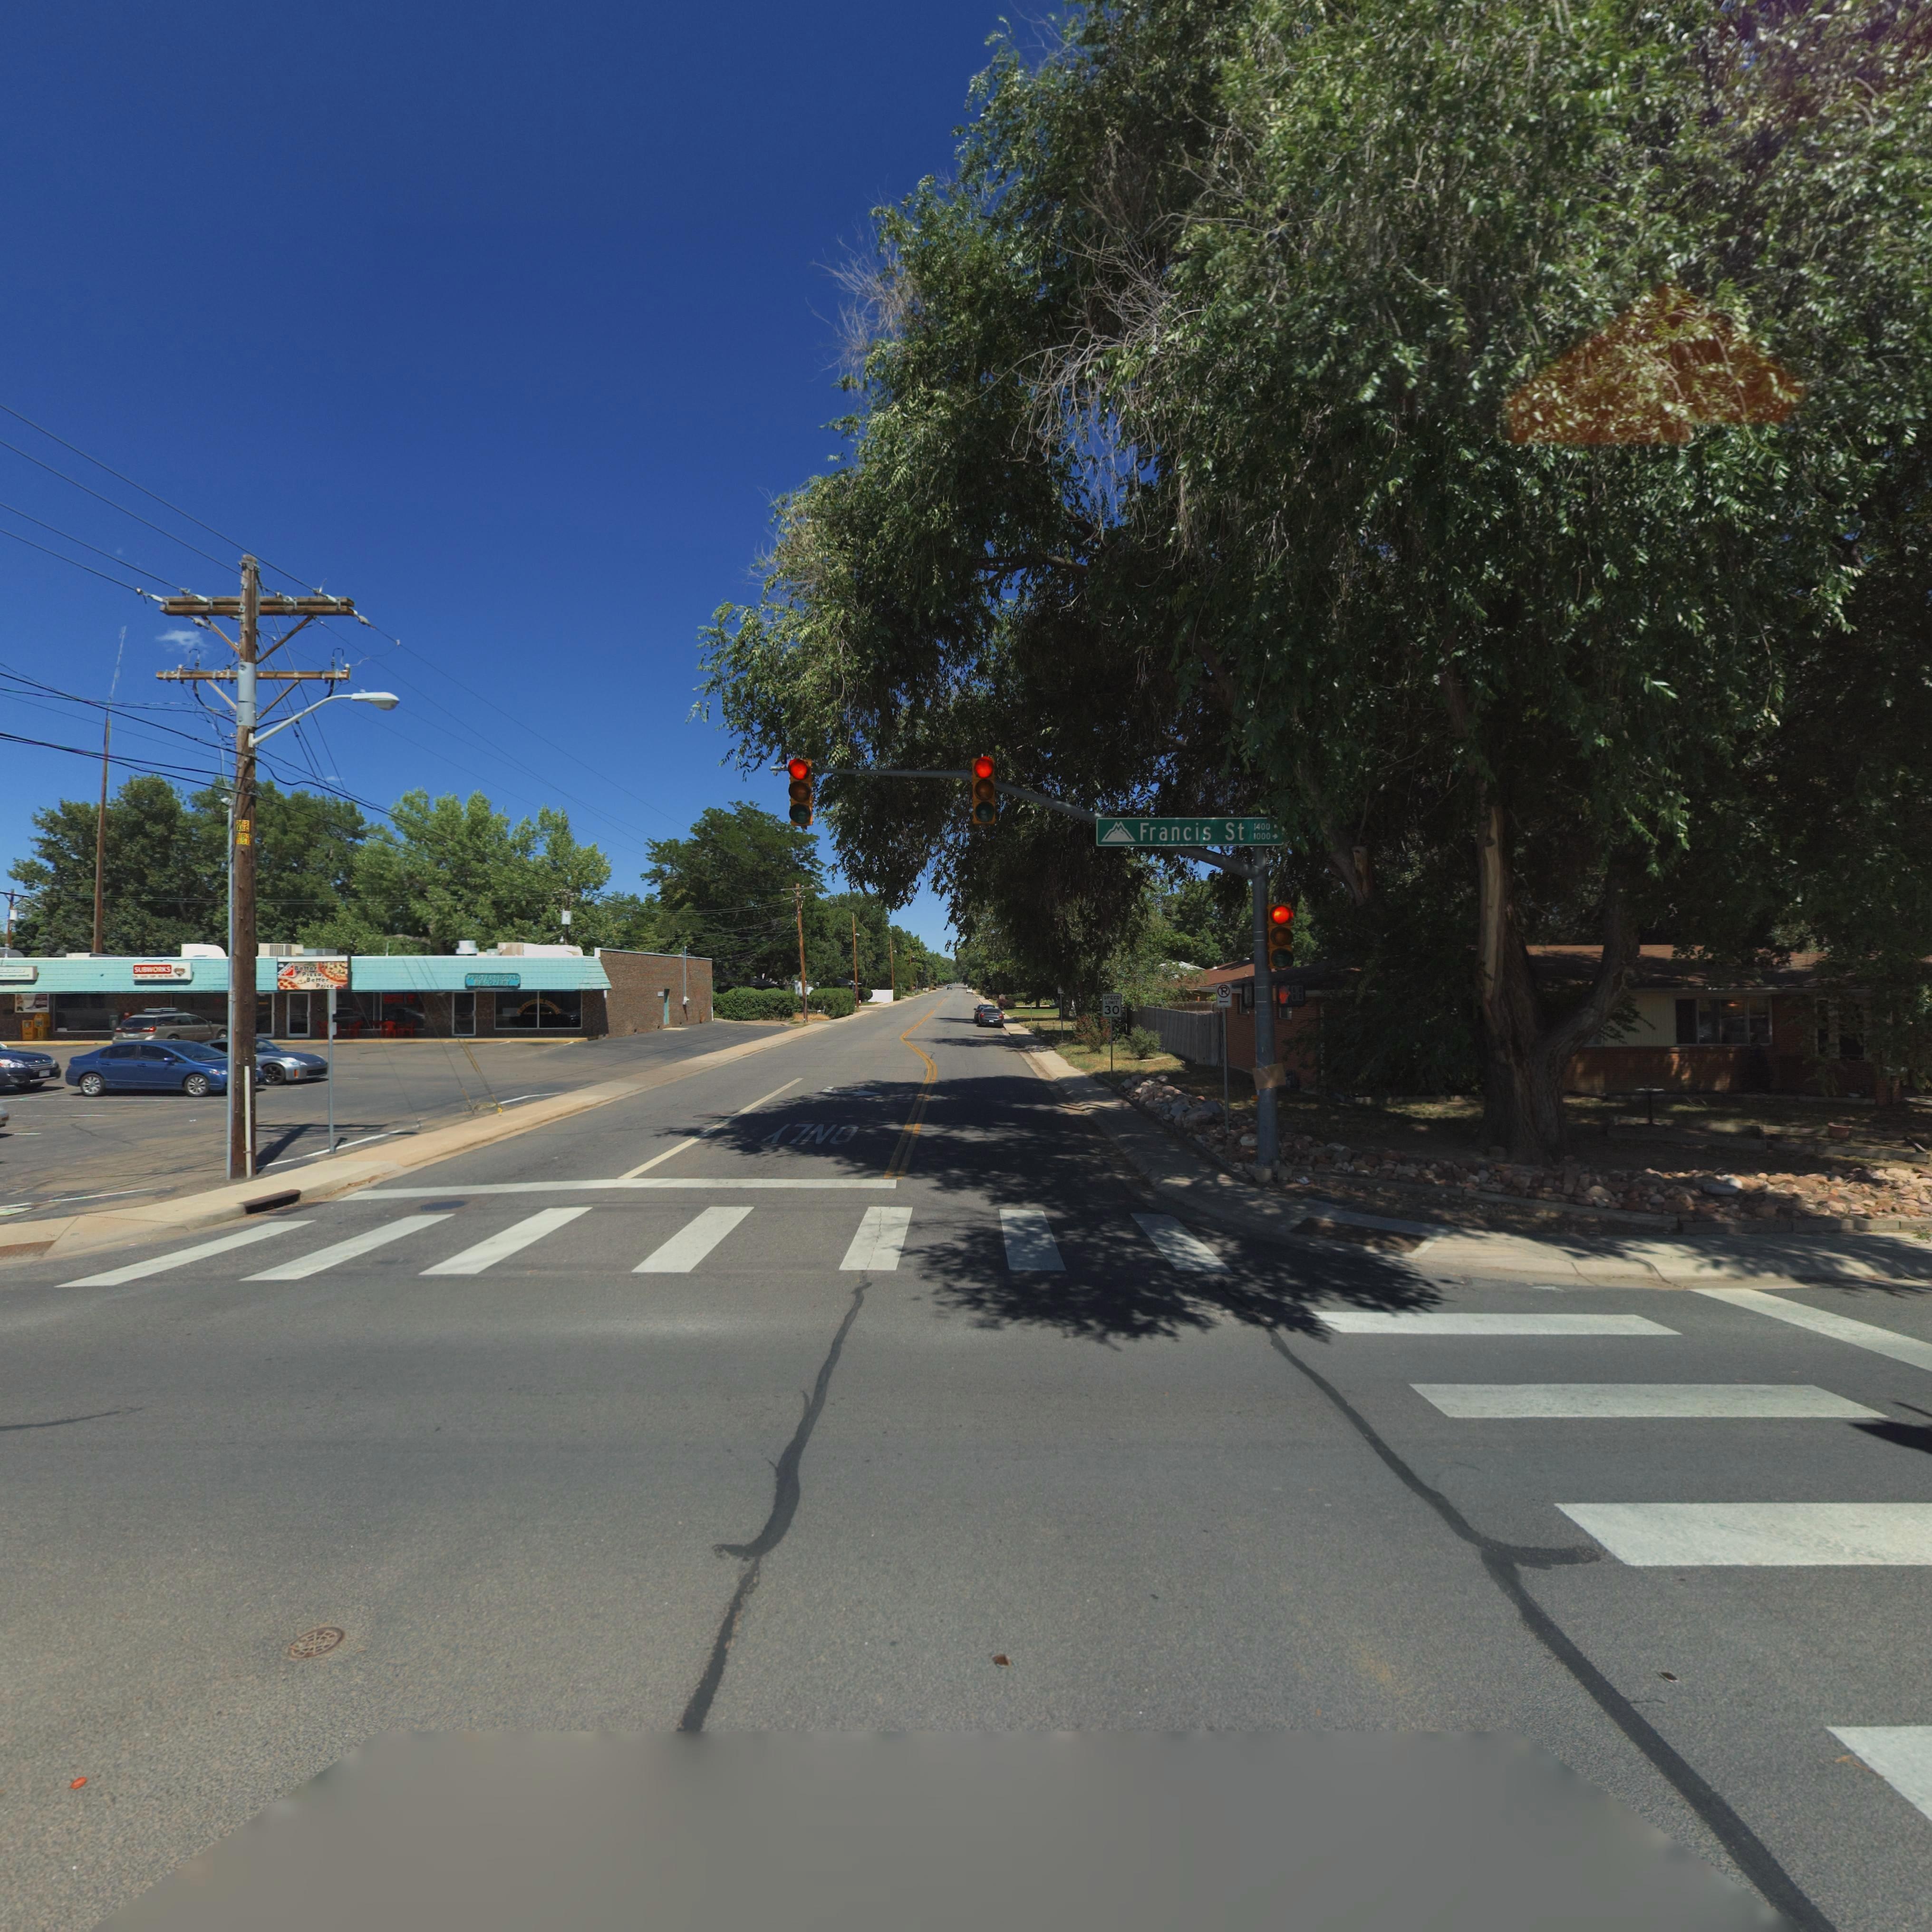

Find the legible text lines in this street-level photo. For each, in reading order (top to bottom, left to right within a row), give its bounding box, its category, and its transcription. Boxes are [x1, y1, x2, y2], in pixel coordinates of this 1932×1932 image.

[1253, 823, 1270, 831] StreetNumberRange: 1400
[1140, 821, 1245, 841] StreetName: Francis St
[1253, 832, 1279, 840] StreetNumberRange: 1000 ->
[134, 966, 170, 972] BusinessName: SUBWORKS
[467, 974, 518, 980] BusinessName: PROFESSIONAL
[474, 979, 511, 985] BusinessName: RECOVERY
[515, 998, 561, 1016] BusinessName: P***ESSI***L R*CO*RY